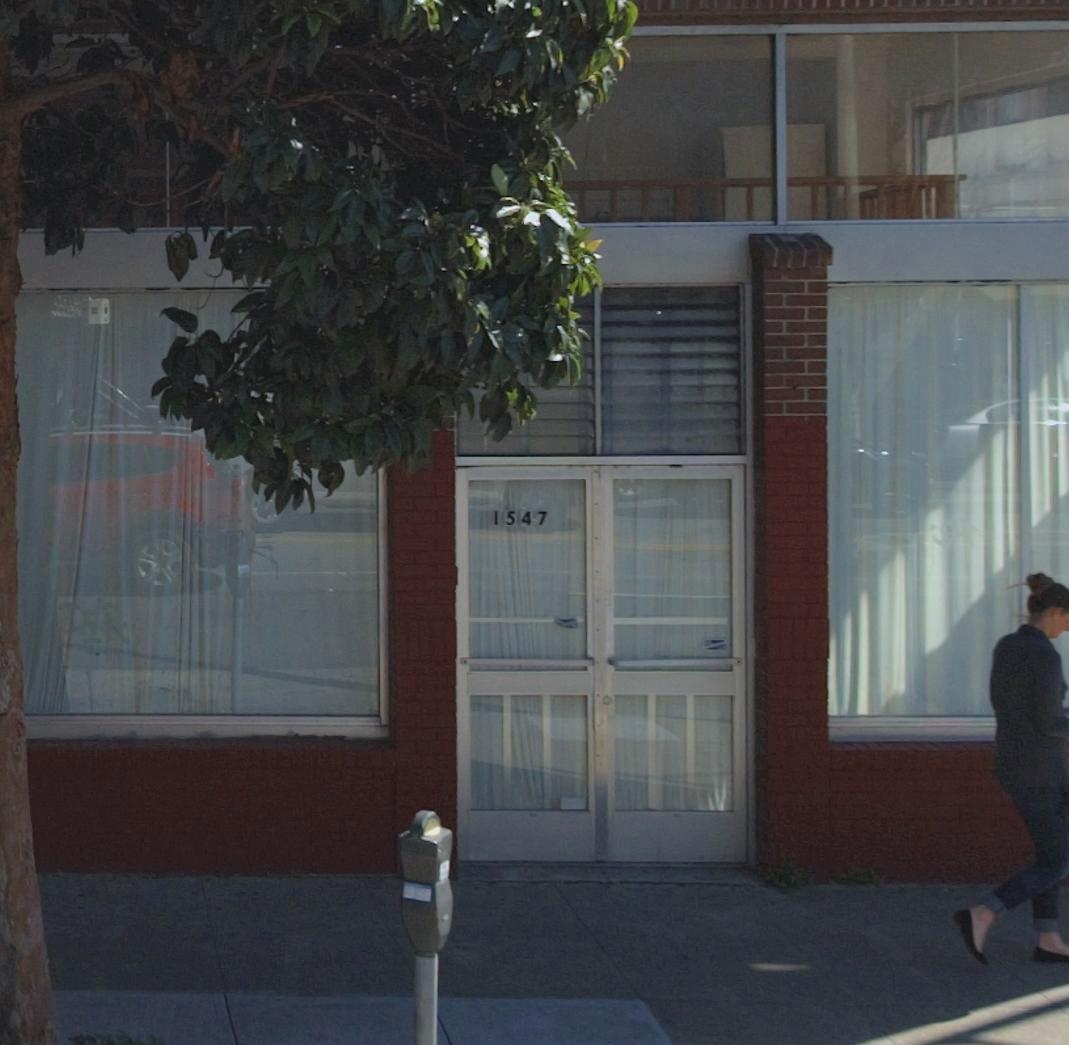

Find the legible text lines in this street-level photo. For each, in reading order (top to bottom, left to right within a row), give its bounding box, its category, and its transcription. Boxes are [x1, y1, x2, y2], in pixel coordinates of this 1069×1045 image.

[490, 509, 553, 530] StreetNumber: 1547